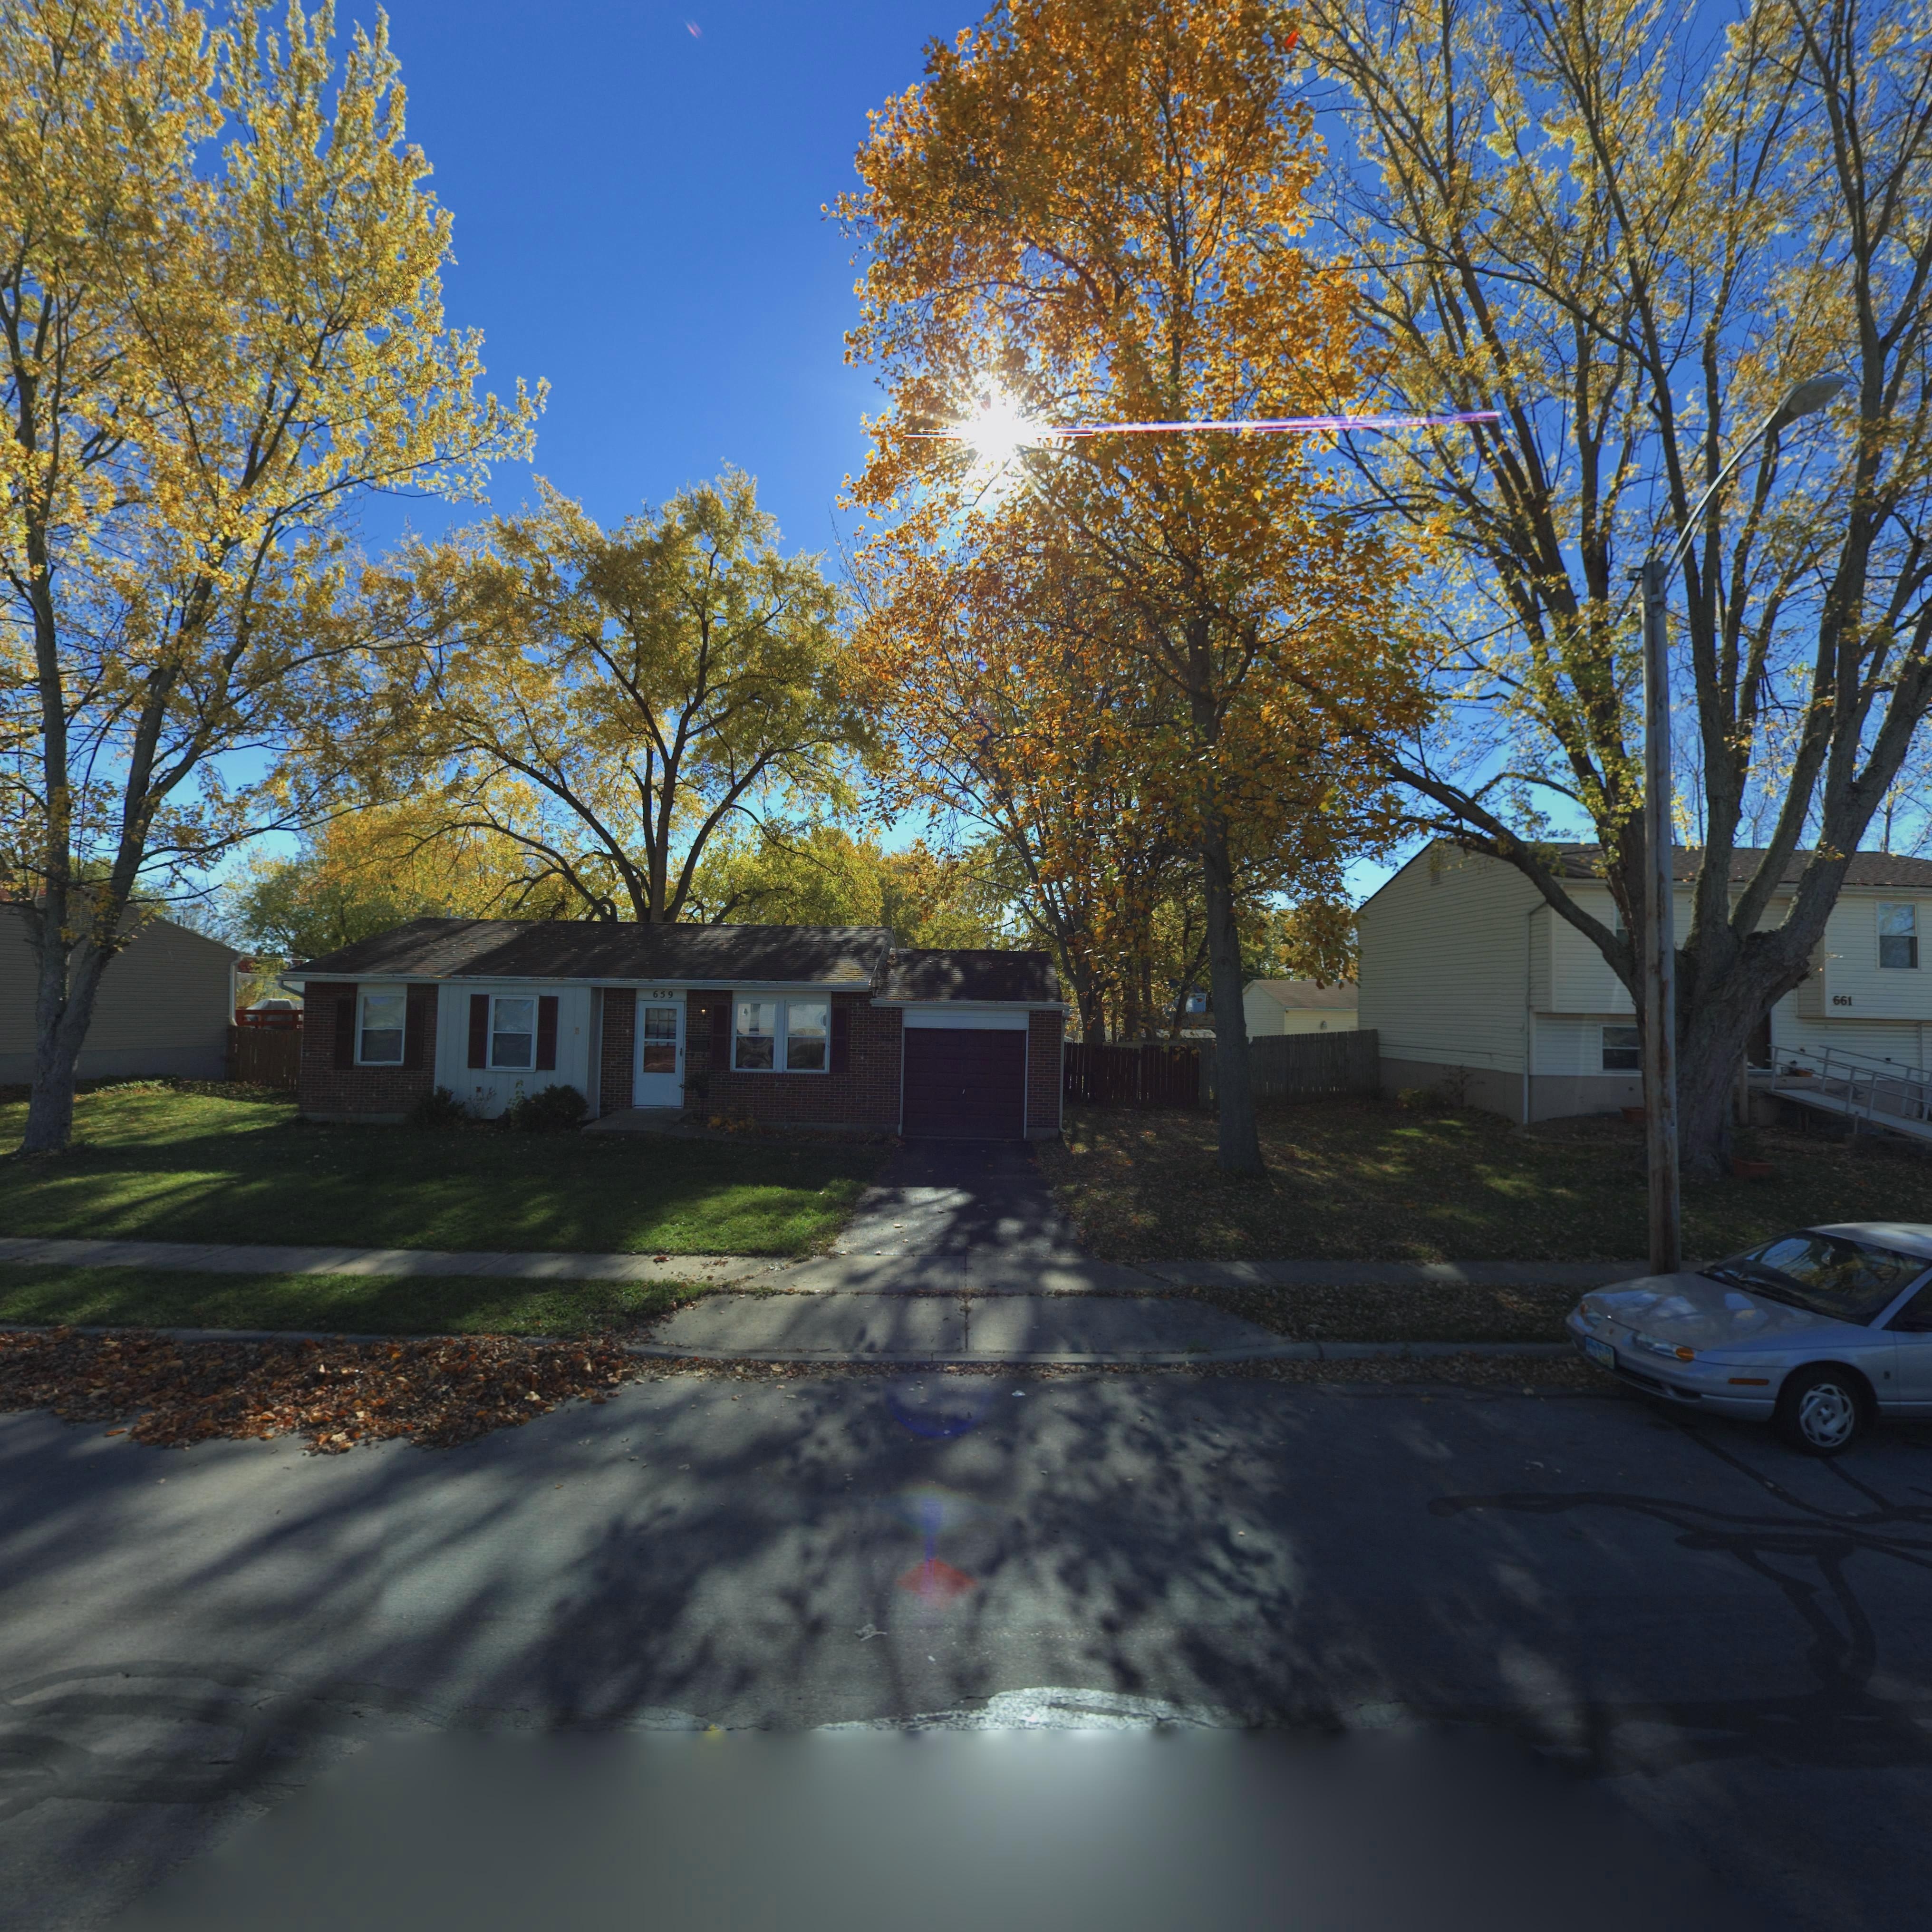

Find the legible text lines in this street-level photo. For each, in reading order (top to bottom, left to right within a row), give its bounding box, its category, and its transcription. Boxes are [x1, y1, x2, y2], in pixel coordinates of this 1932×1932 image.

[652, 990, 674, 999] StreetNumber: 659
[1832, 995, 1853, 1006] StreetNumber: 661